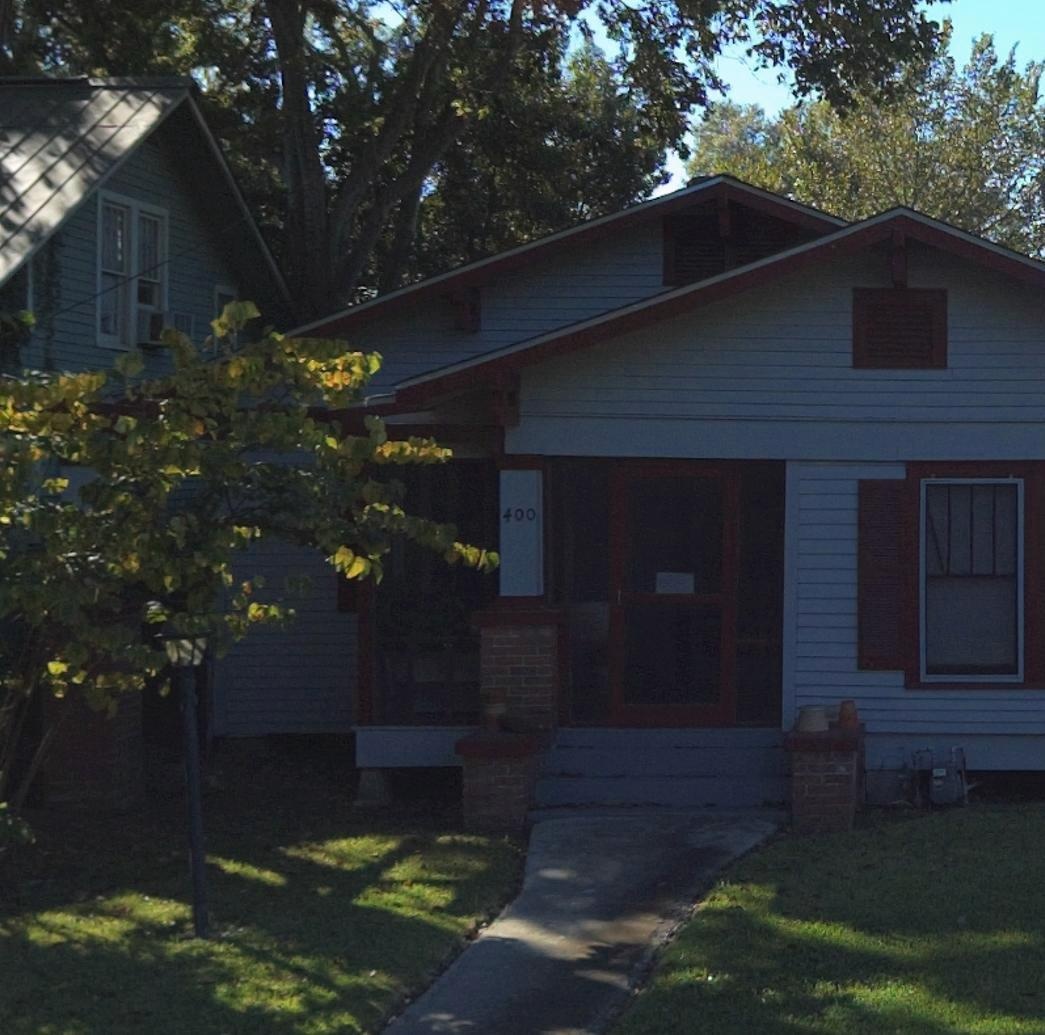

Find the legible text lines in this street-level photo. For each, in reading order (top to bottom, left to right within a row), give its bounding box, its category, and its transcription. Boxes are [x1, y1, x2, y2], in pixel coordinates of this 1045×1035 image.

[500, 506, 537, 524] StreetNumber: 400